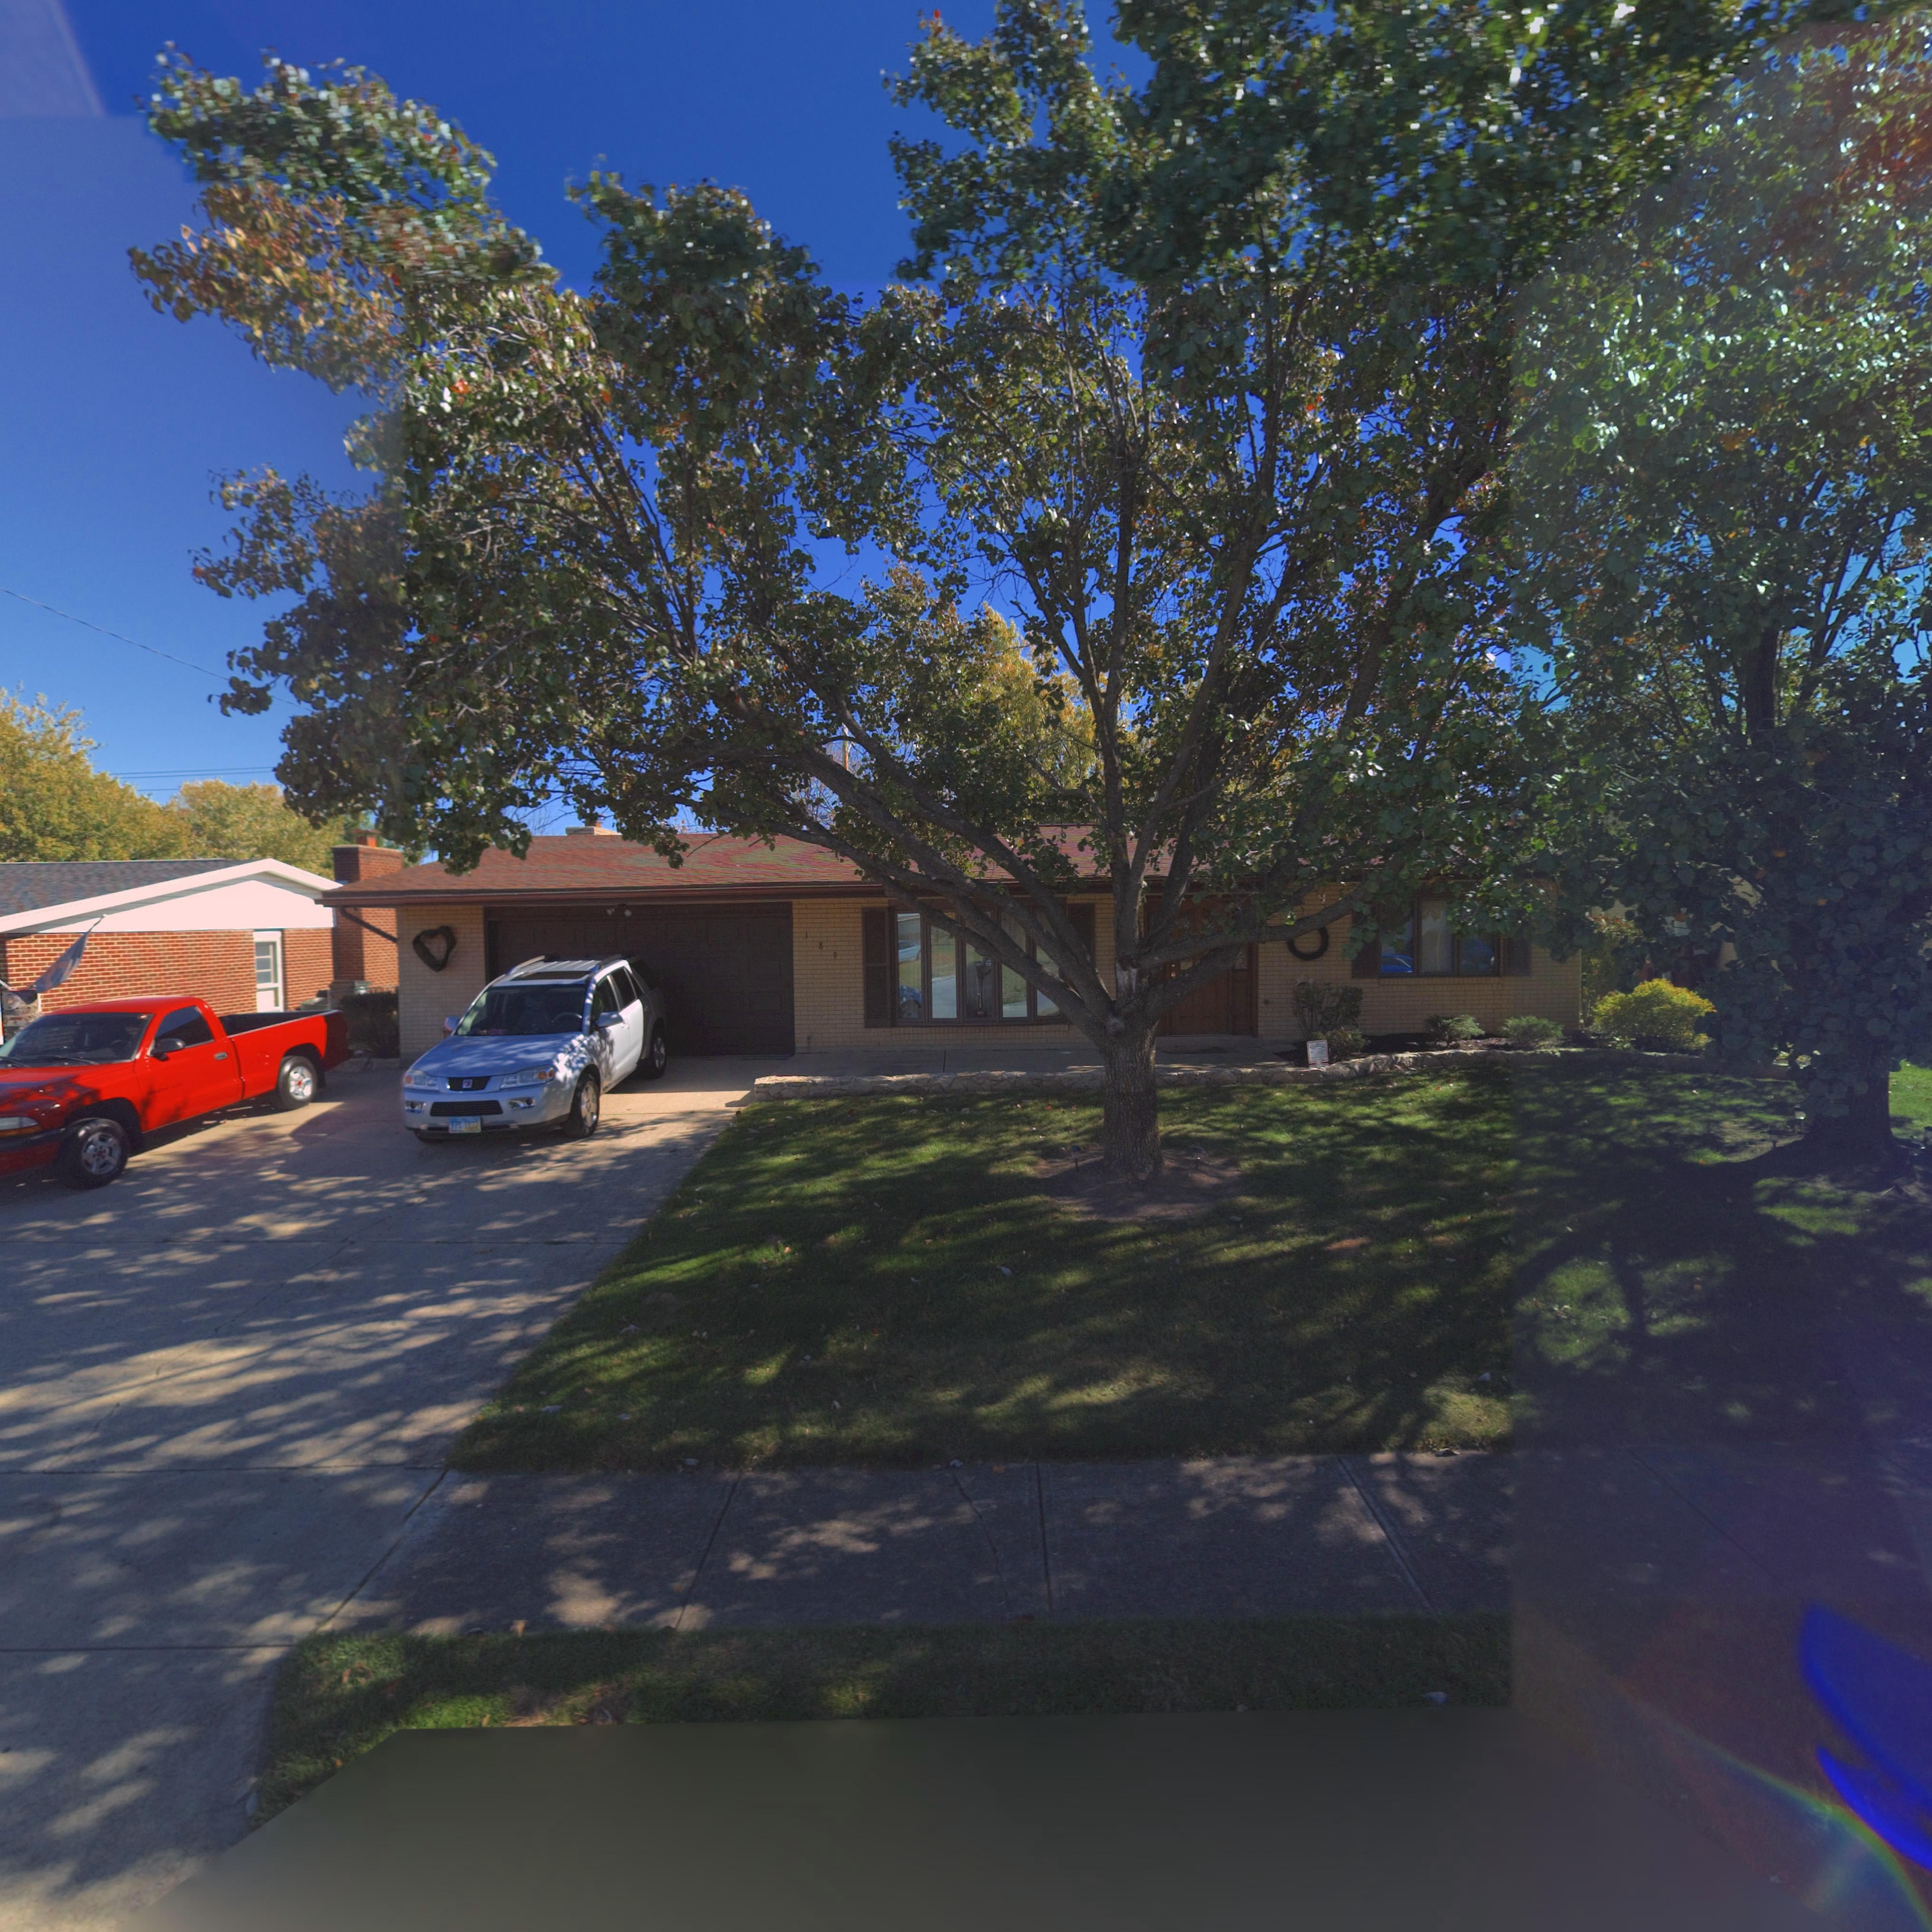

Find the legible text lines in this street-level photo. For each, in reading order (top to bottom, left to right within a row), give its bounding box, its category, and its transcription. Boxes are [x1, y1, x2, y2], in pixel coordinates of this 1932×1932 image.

[805, 930, 839, 962] StreetNumber: 189